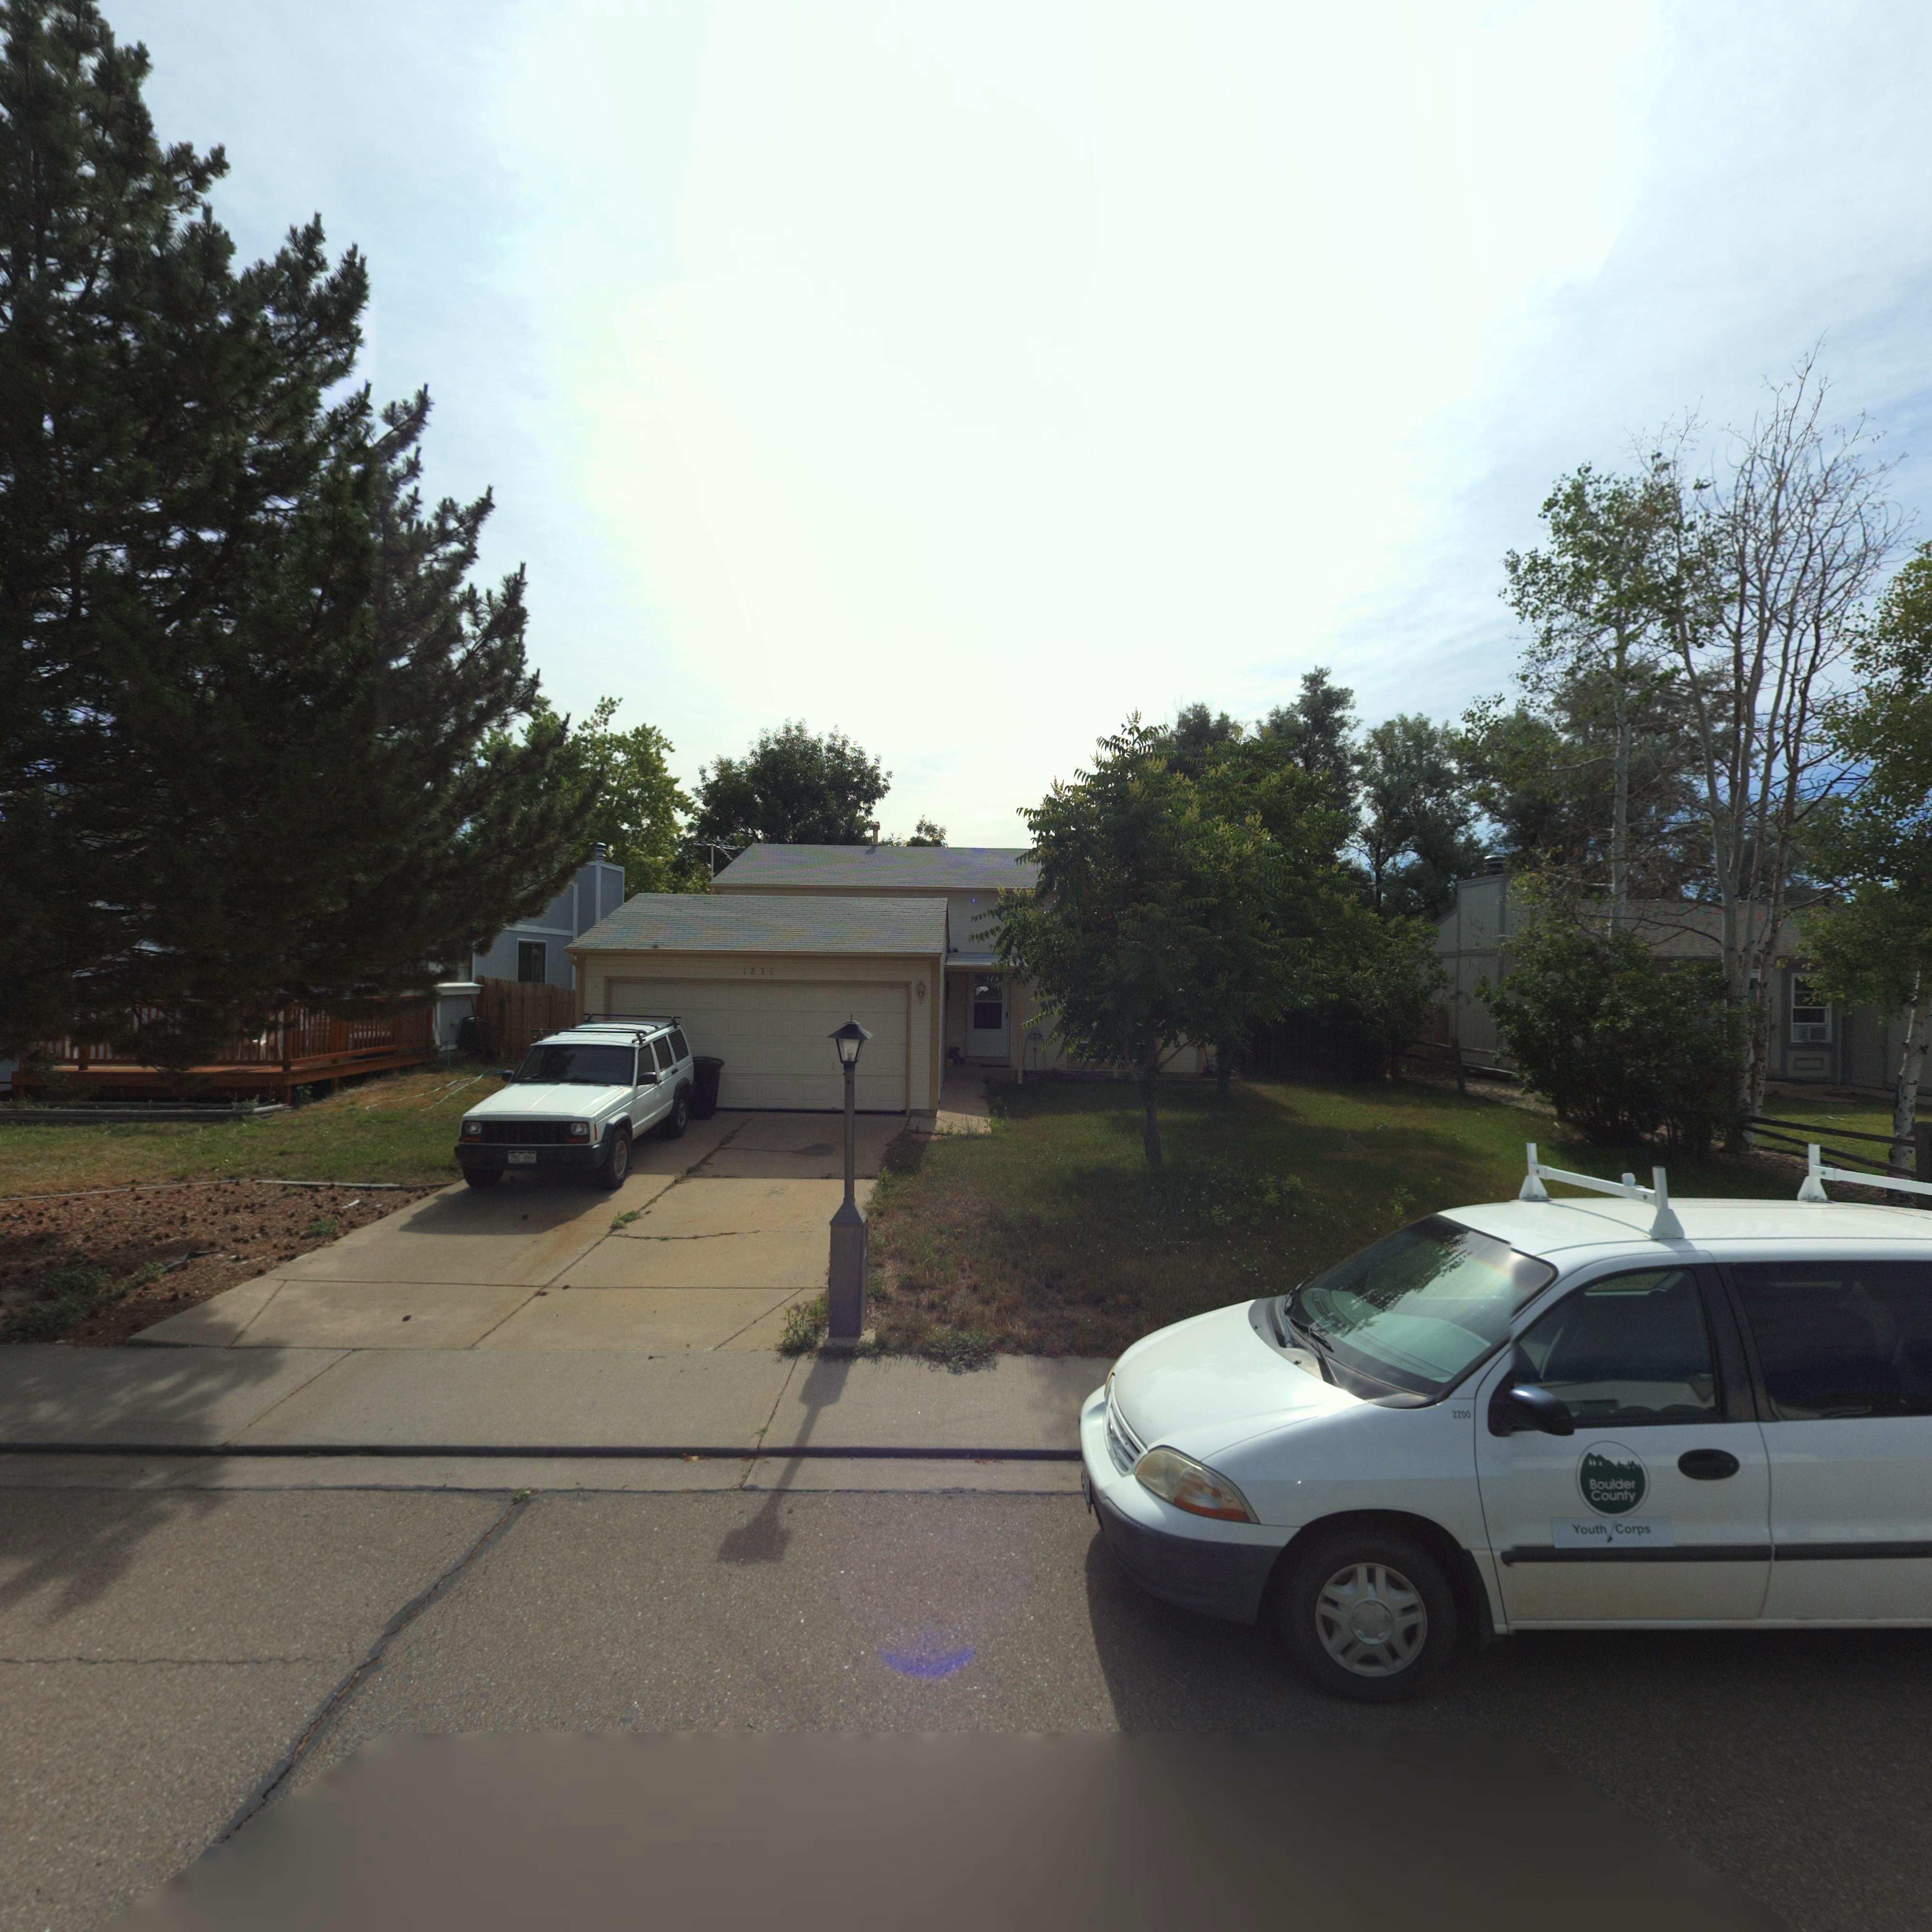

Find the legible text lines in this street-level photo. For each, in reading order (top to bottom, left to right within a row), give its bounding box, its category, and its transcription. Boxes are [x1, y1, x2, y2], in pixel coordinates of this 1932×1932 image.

[744, 967, 774, 975] StreetNumber: 1836